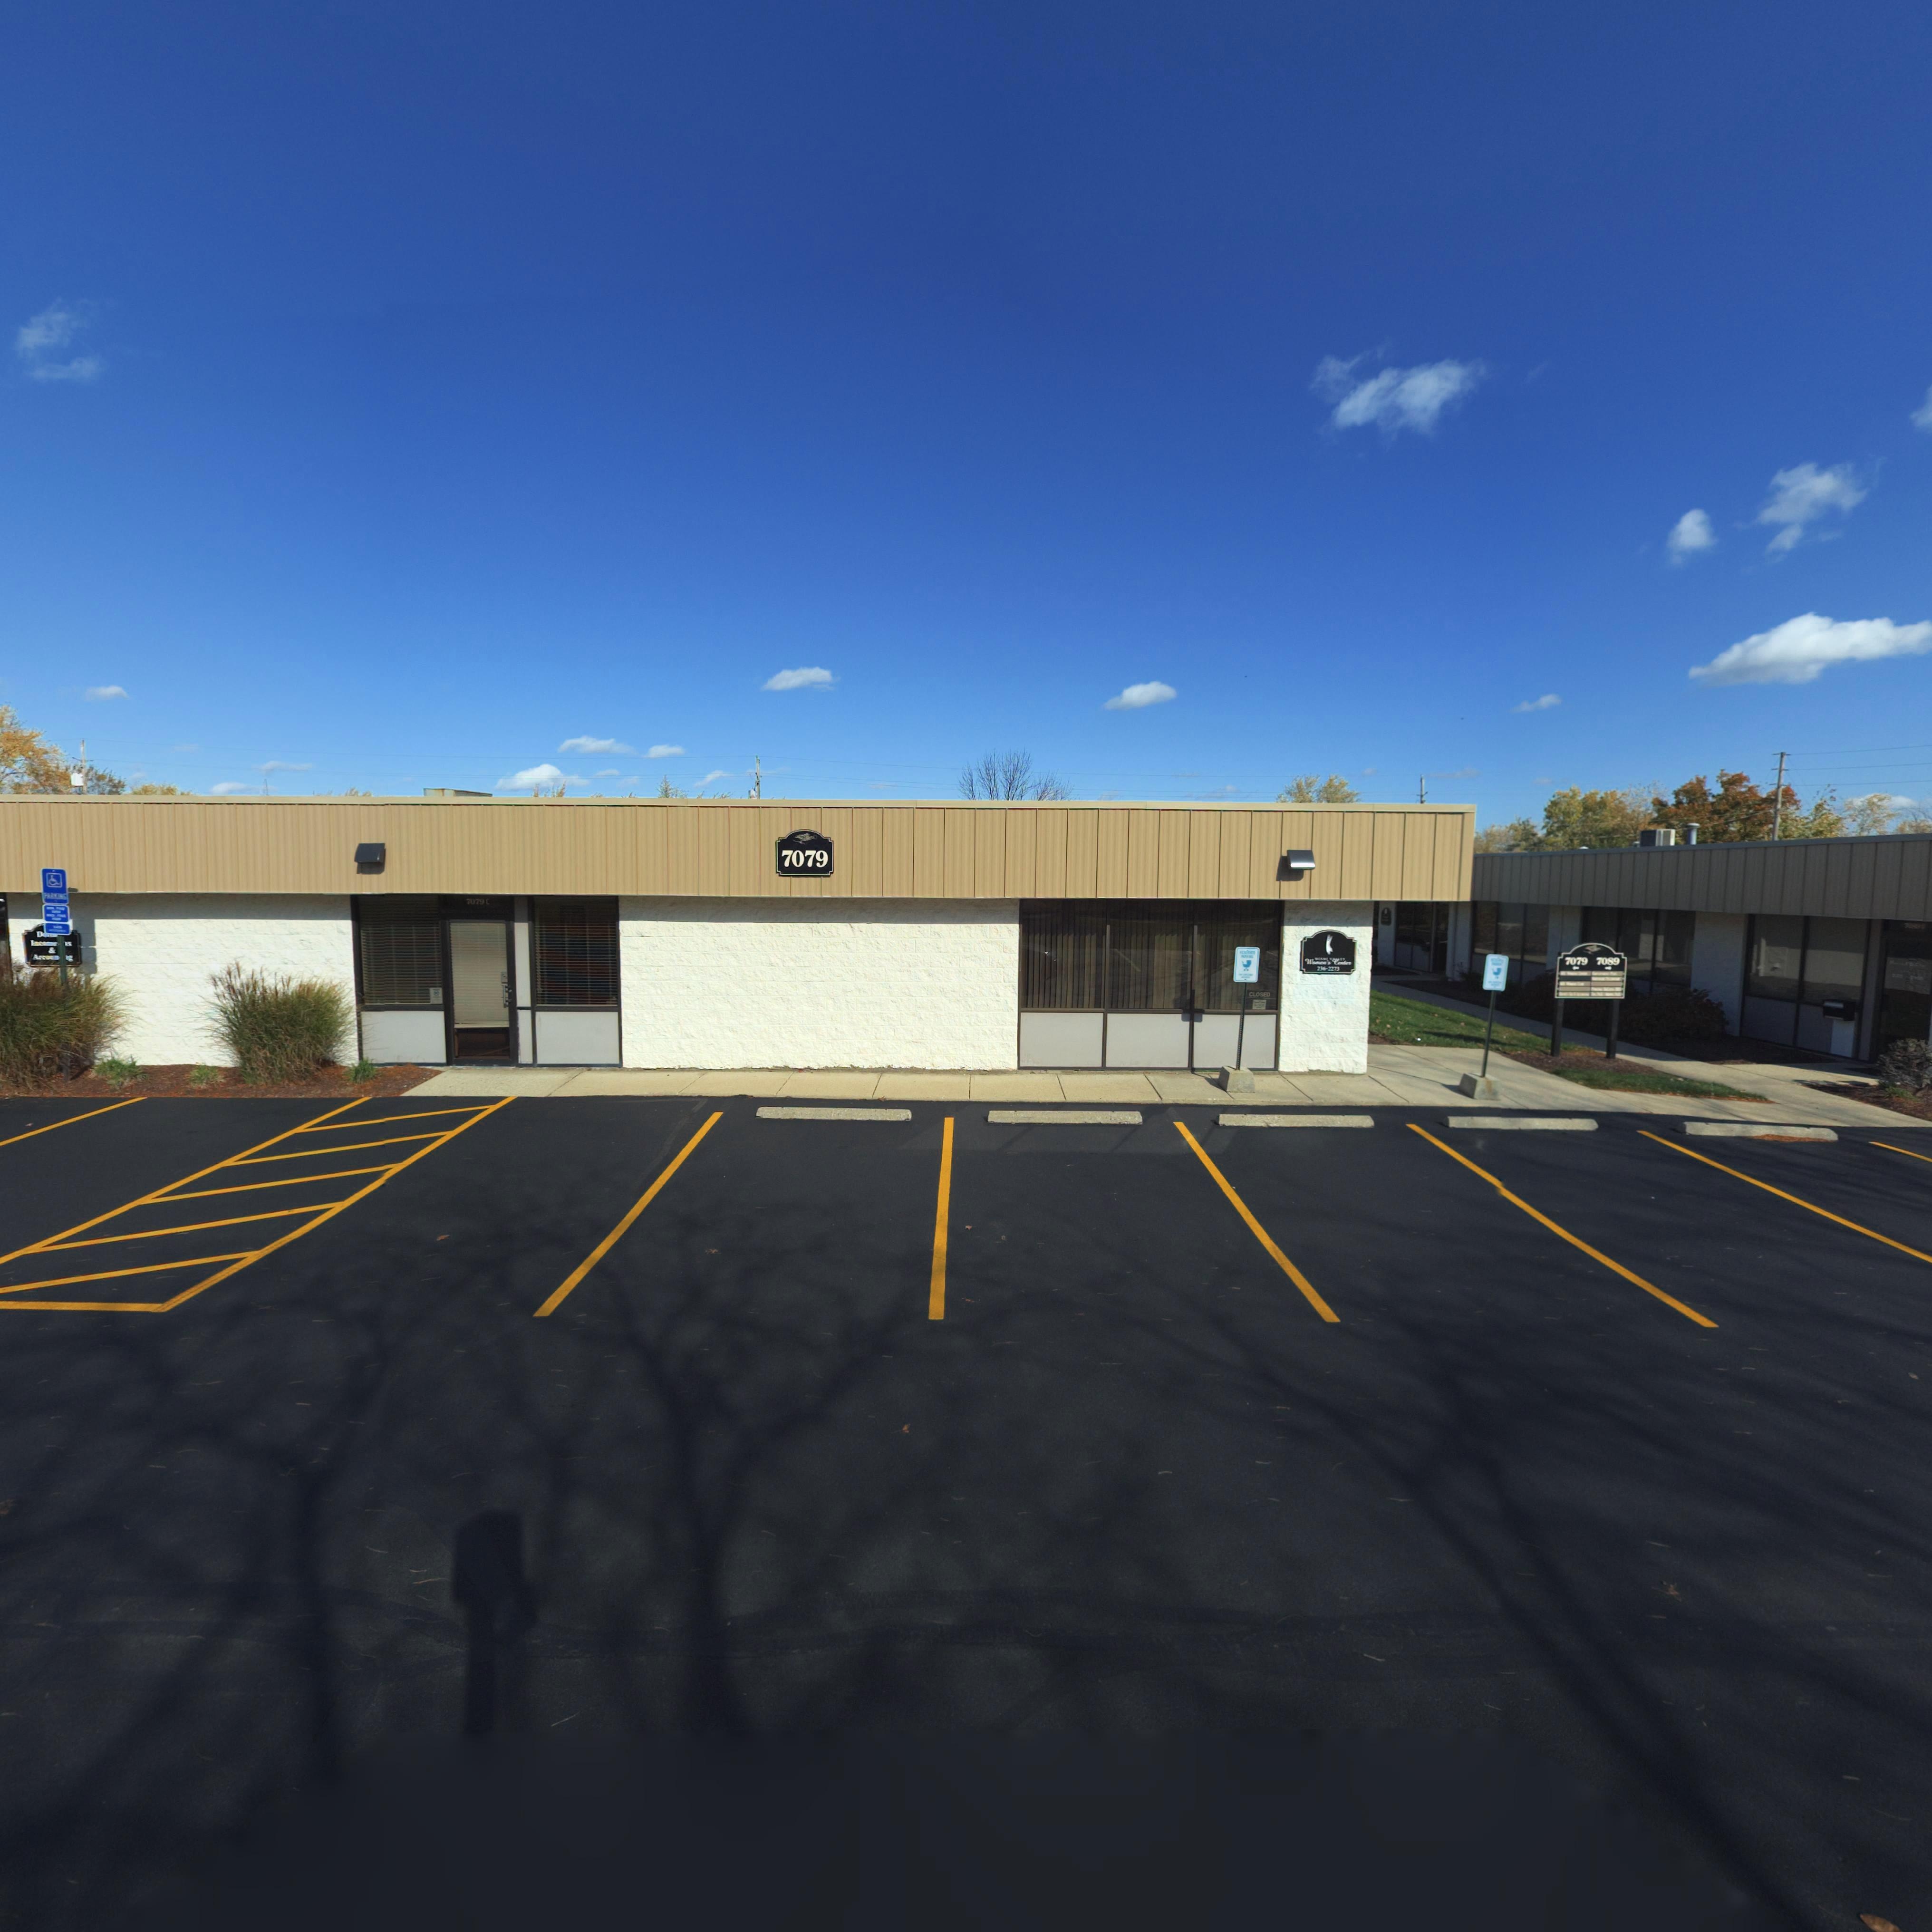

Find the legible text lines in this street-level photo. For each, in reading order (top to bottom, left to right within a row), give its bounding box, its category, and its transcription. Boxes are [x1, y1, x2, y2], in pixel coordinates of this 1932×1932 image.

[780, 849, 829, 869] StreetNumber: 7079
[464, 898, 491, 906] StreetNumber: 7079 C
[1563, 956, 1590, 967] StreetNumber: 7079
[1594, 956, 1622, 967] StreetNumber: 7089